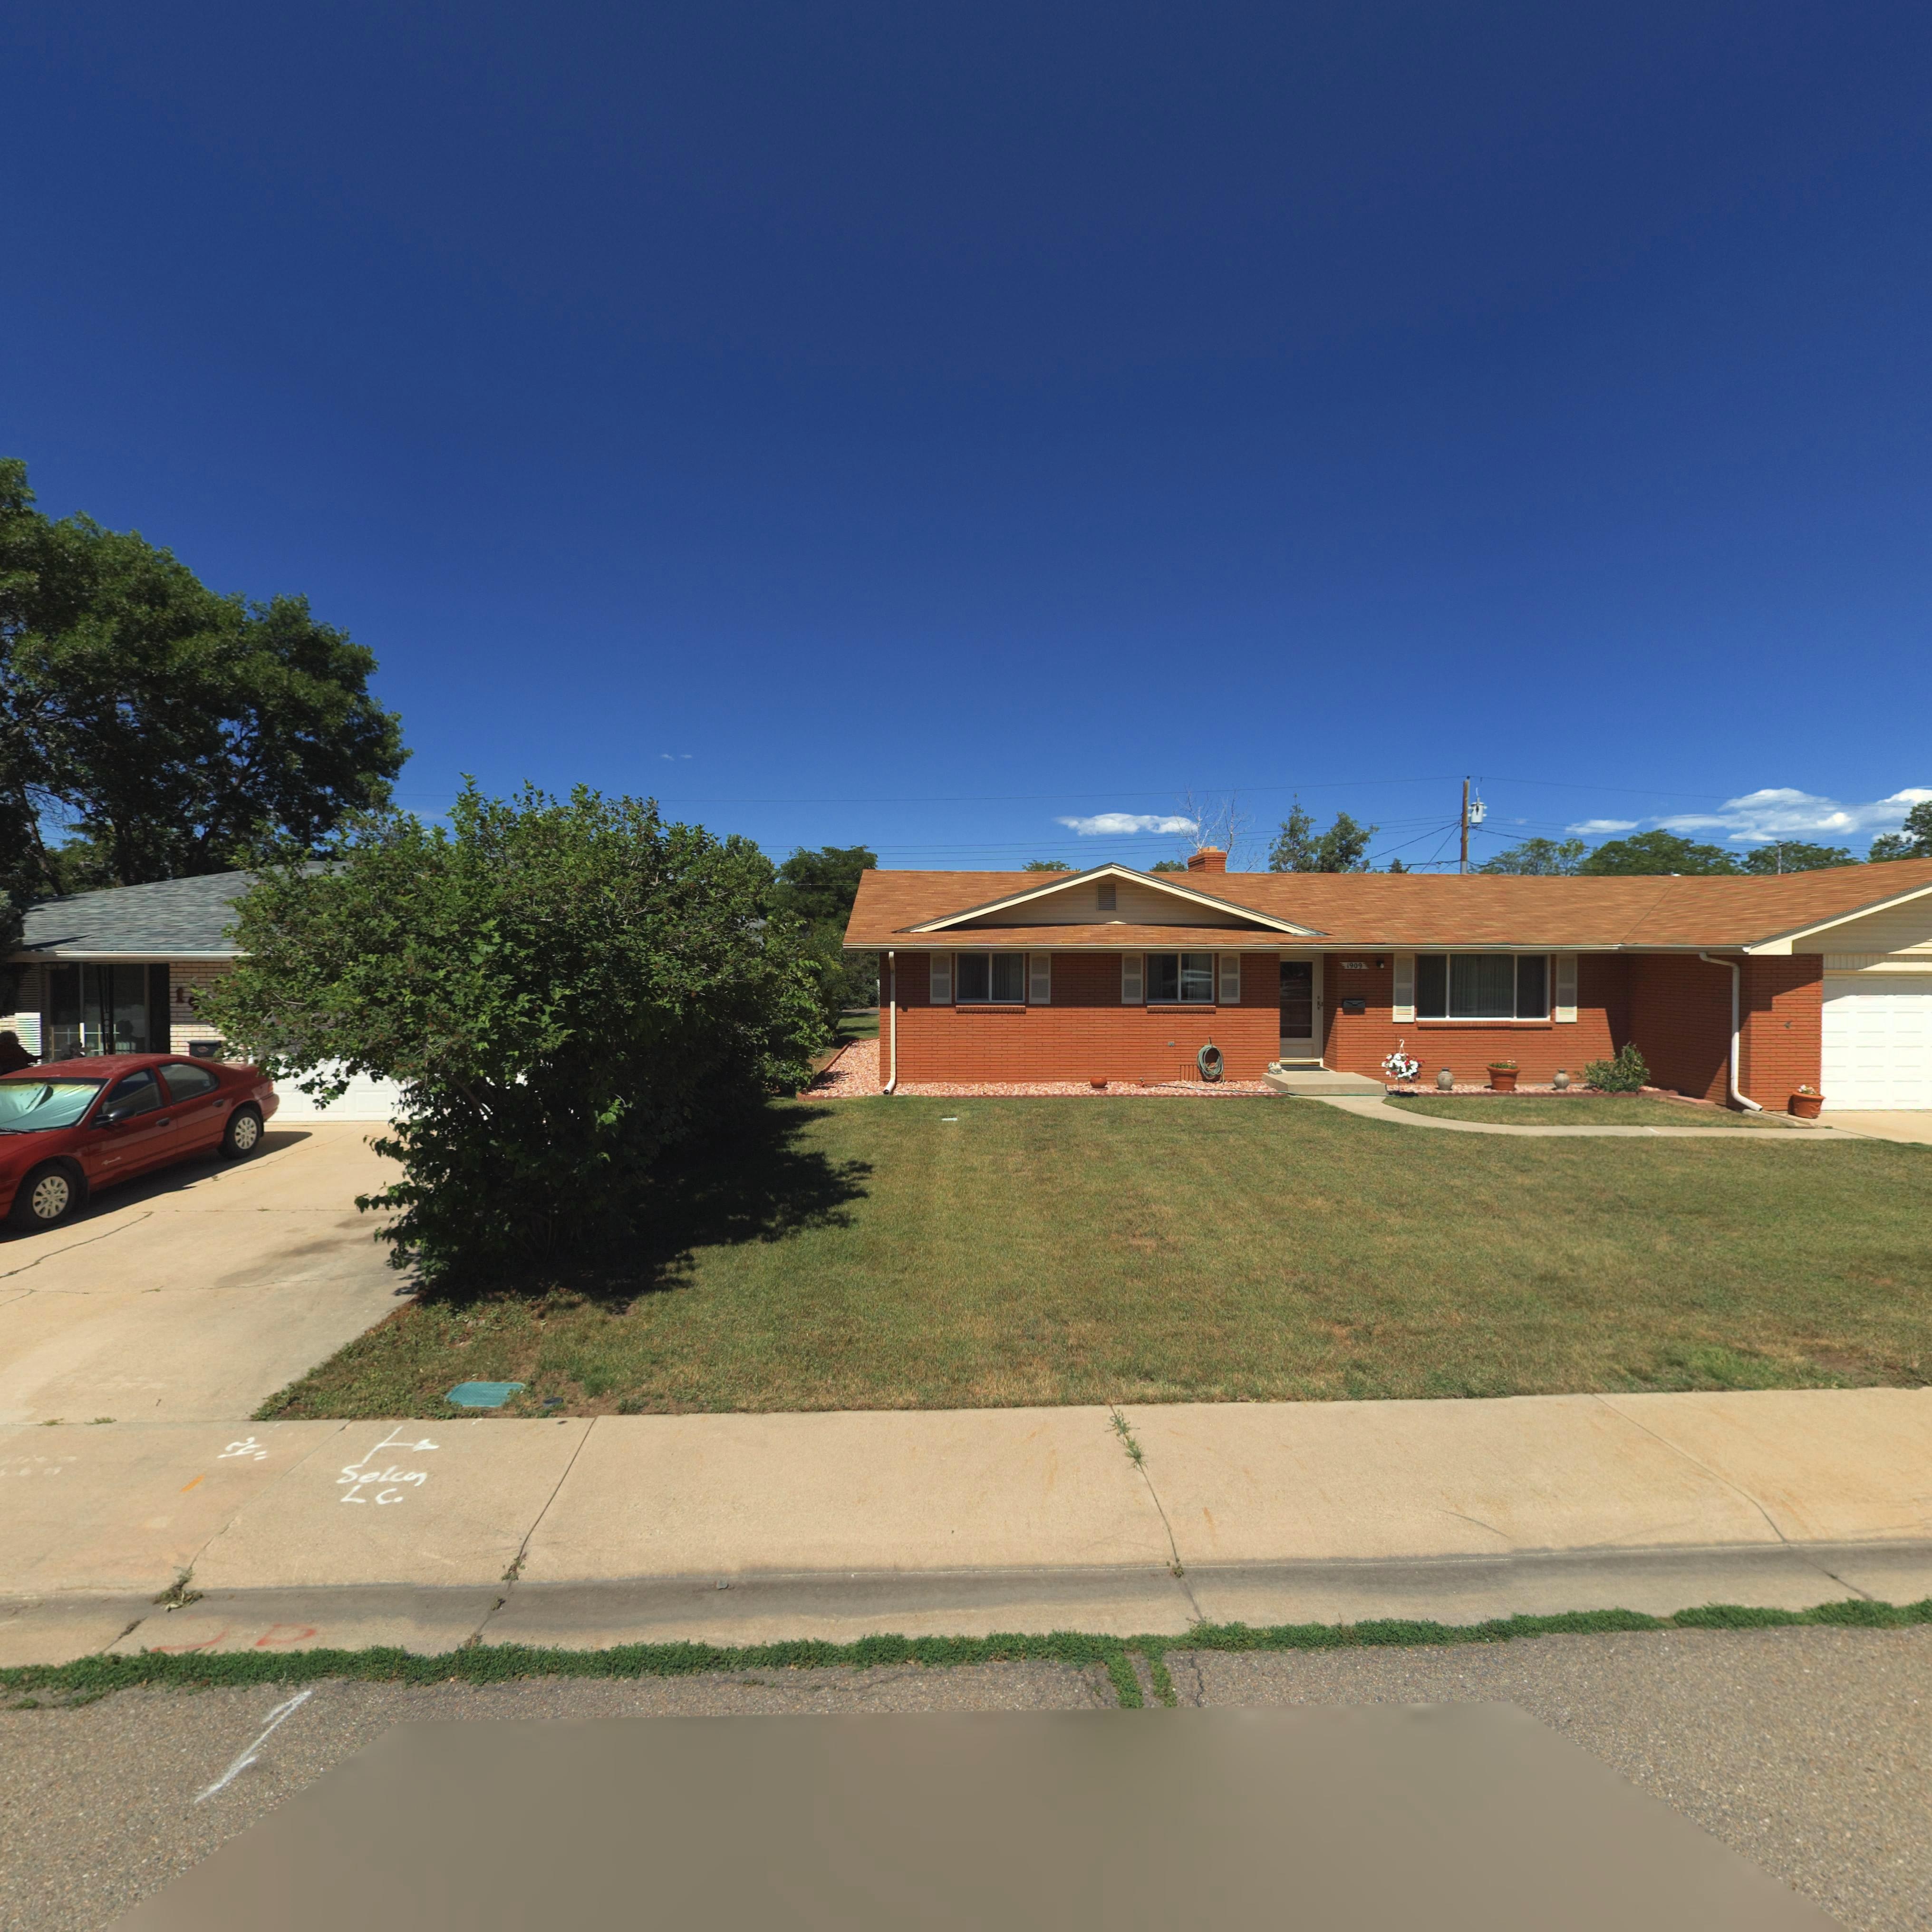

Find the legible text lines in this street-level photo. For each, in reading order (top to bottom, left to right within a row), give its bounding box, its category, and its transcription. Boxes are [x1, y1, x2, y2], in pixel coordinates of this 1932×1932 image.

[1346, 962, 1362, 969] StreetNumber: 1909
[174, 985, 203, 1014] StreetNumber: 1*